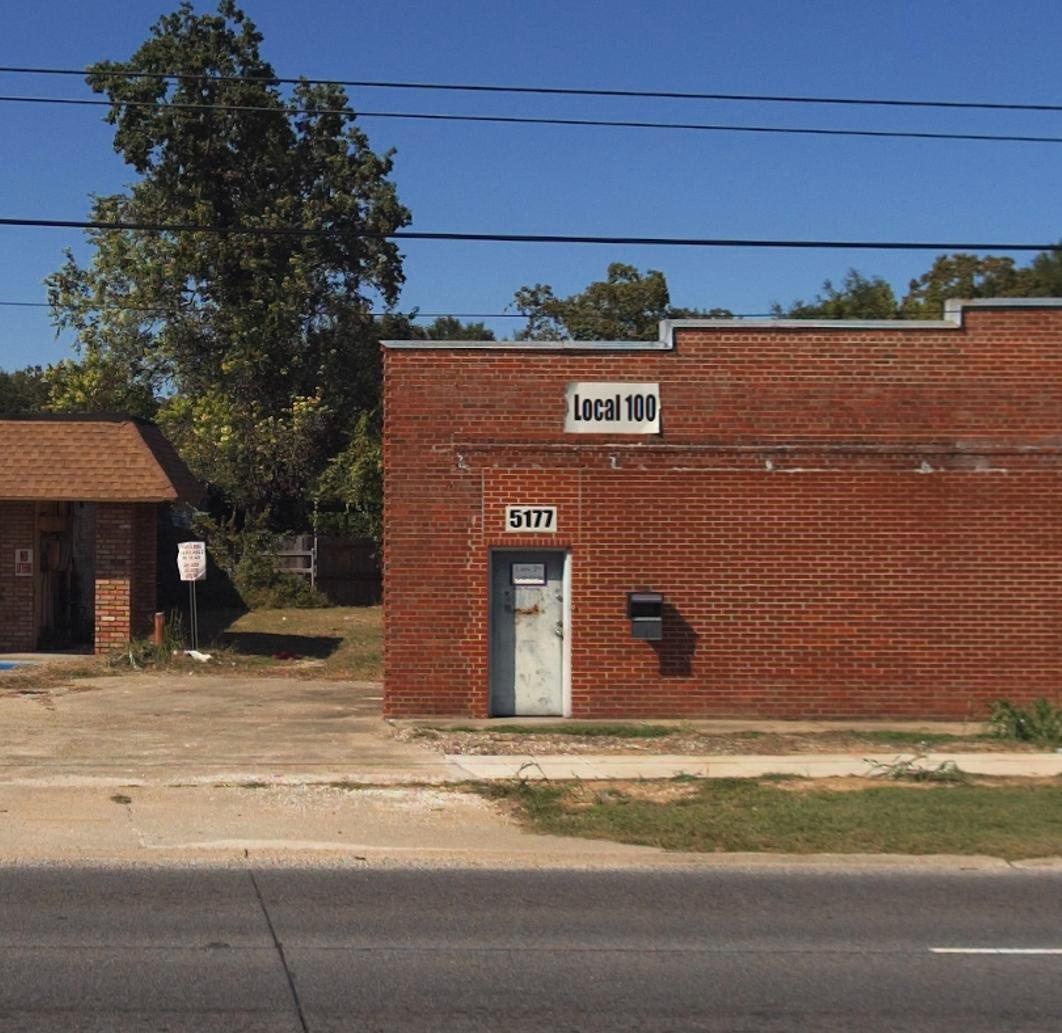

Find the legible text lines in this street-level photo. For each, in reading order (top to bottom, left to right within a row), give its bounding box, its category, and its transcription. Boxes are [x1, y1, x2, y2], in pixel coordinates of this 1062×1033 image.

[572, 392, 657, 423] BusinessName: Local 100
[509, 507, 554, 530] StreetNumber: 5177
[19, 550, 29, 562] None: NO
[16, 562, 32, 574] None: LOITERING